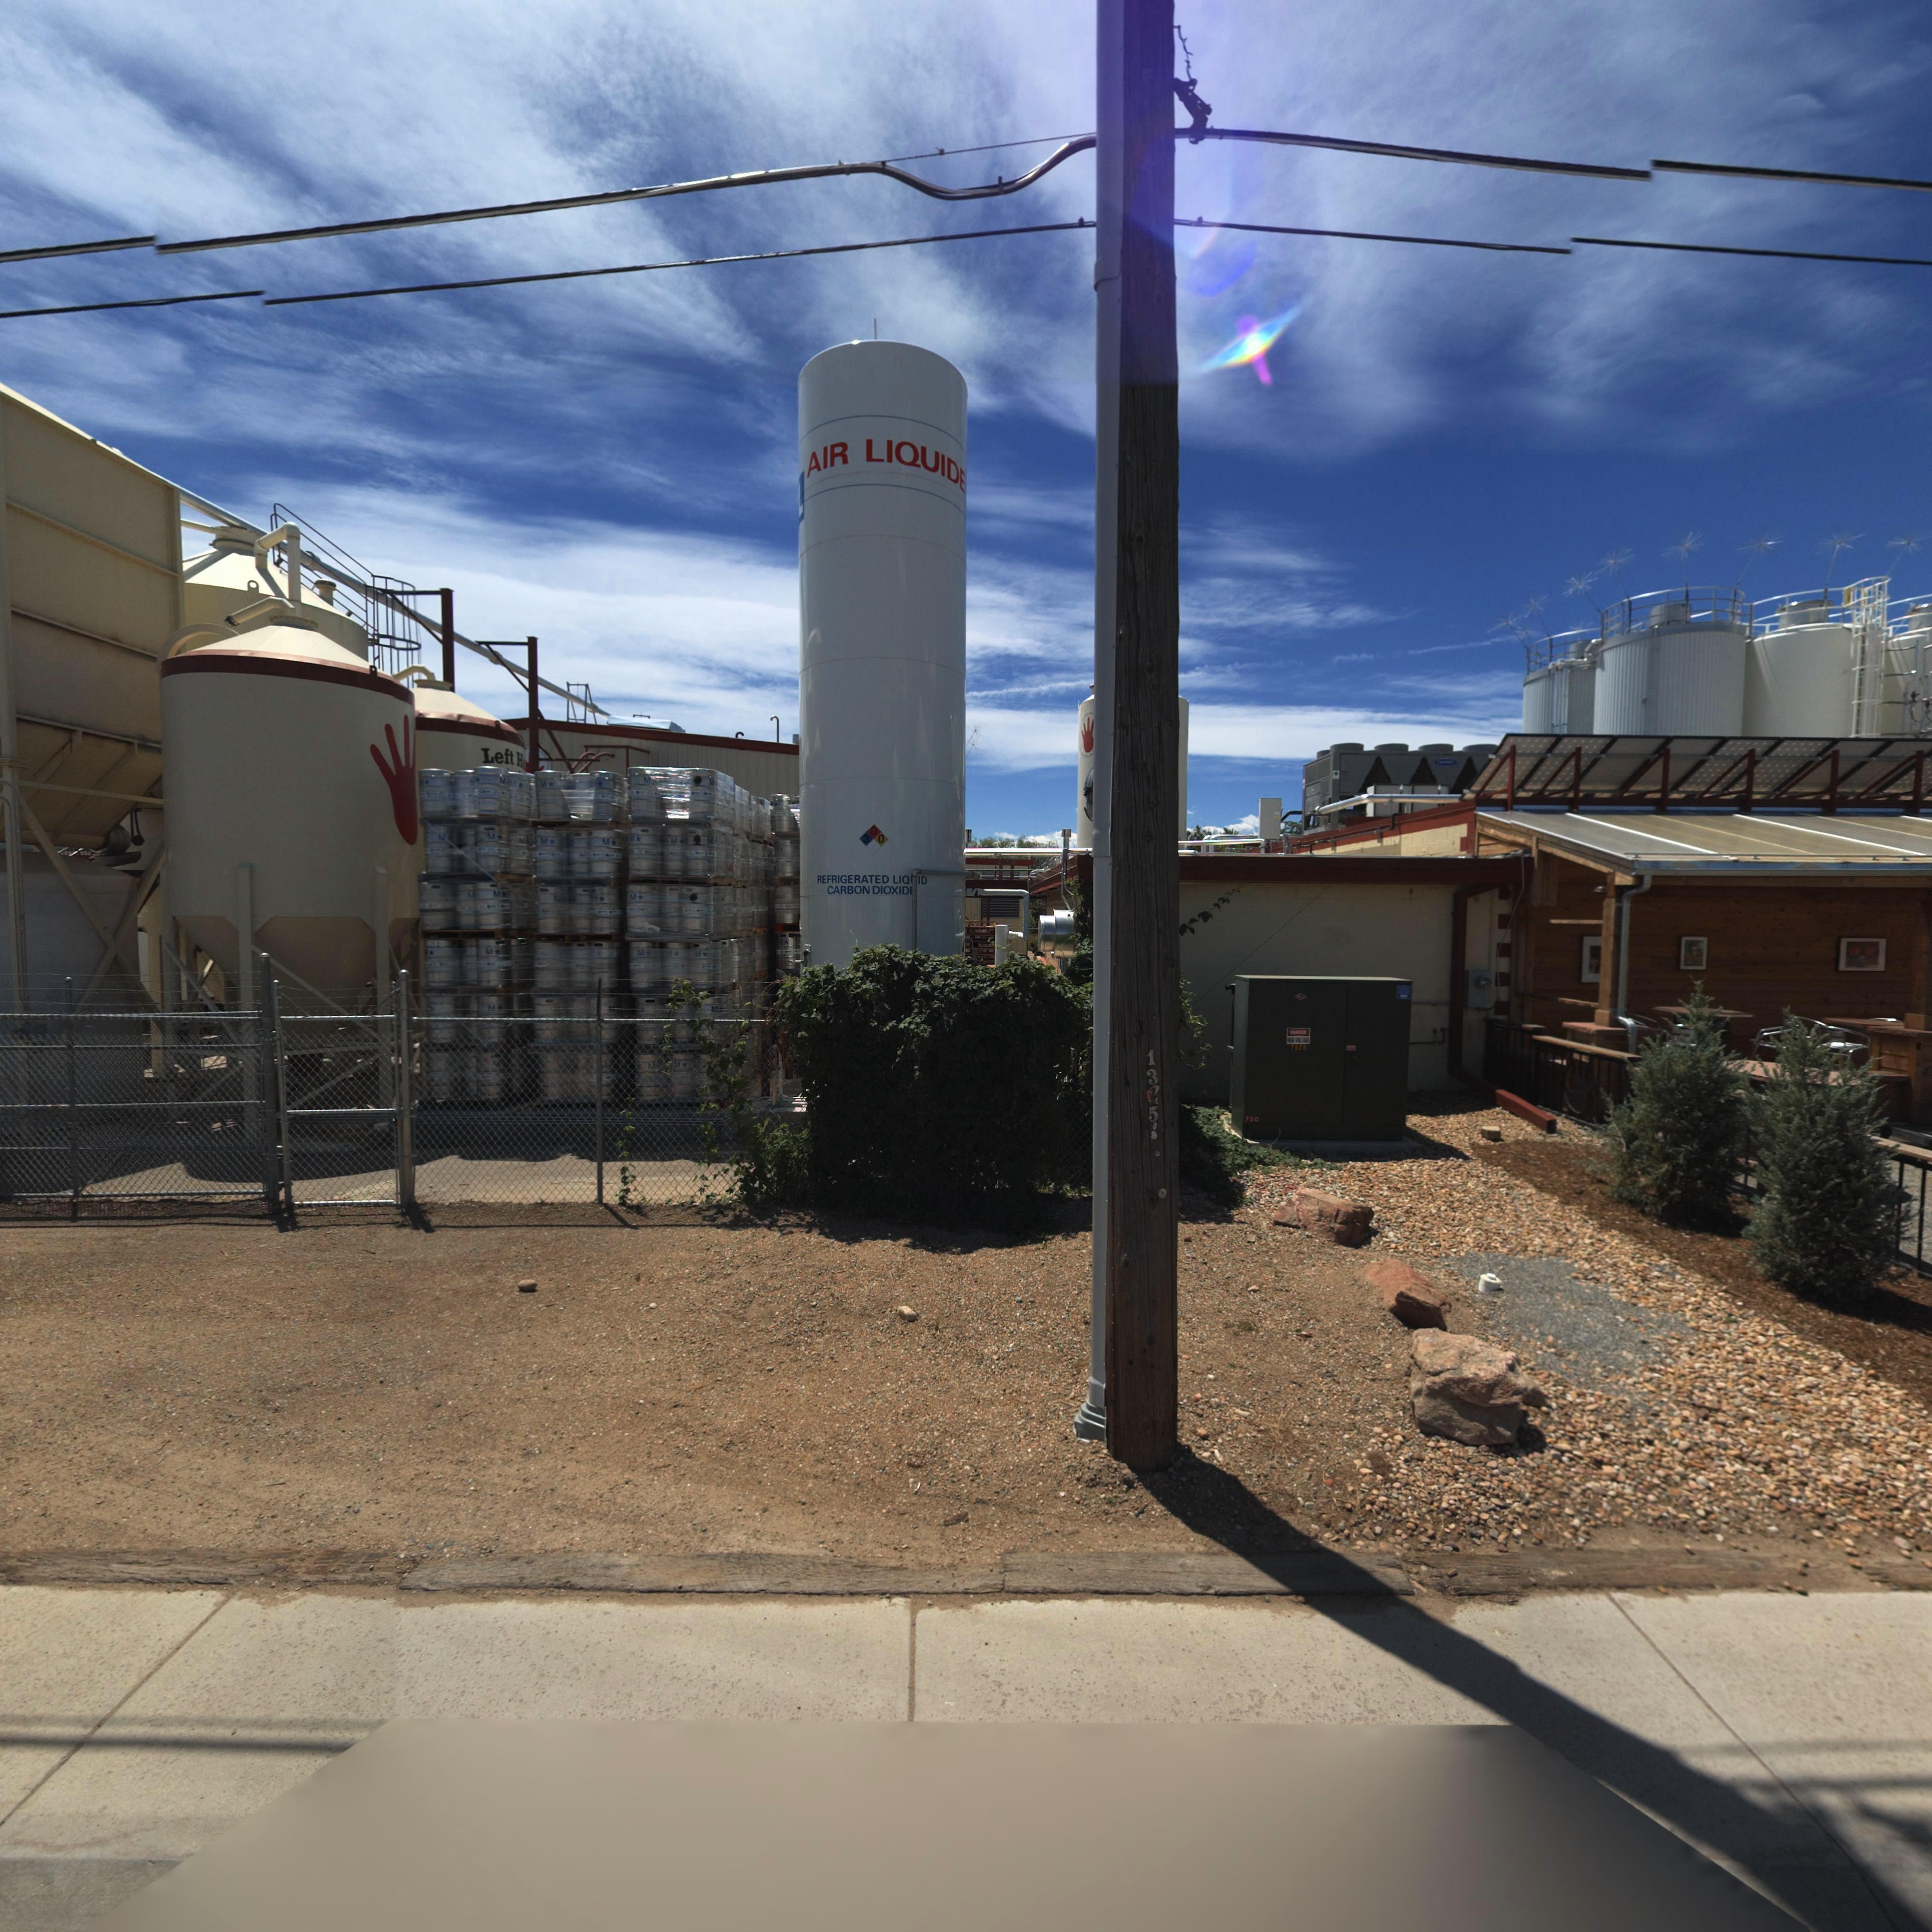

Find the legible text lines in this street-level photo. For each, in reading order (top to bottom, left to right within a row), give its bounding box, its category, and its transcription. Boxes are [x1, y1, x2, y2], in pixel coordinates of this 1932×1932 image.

[480, 746, 524, 769] BusinessName: Left H